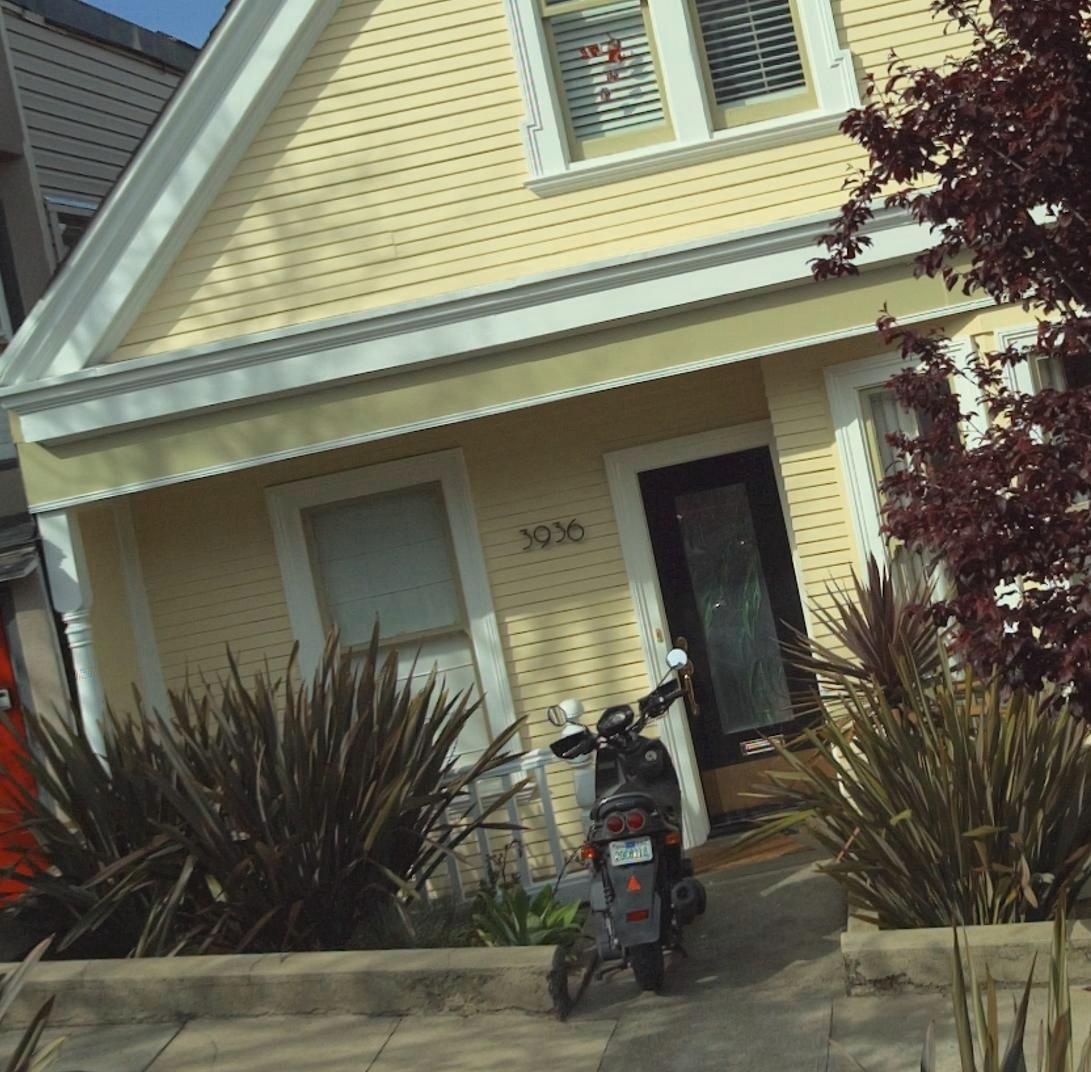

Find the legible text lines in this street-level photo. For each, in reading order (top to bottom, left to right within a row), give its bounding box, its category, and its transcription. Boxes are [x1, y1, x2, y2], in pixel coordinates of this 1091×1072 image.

[518, 516, 587, 552] StreetNumber: 3936
[614, 845, 651, 863] None: 200114